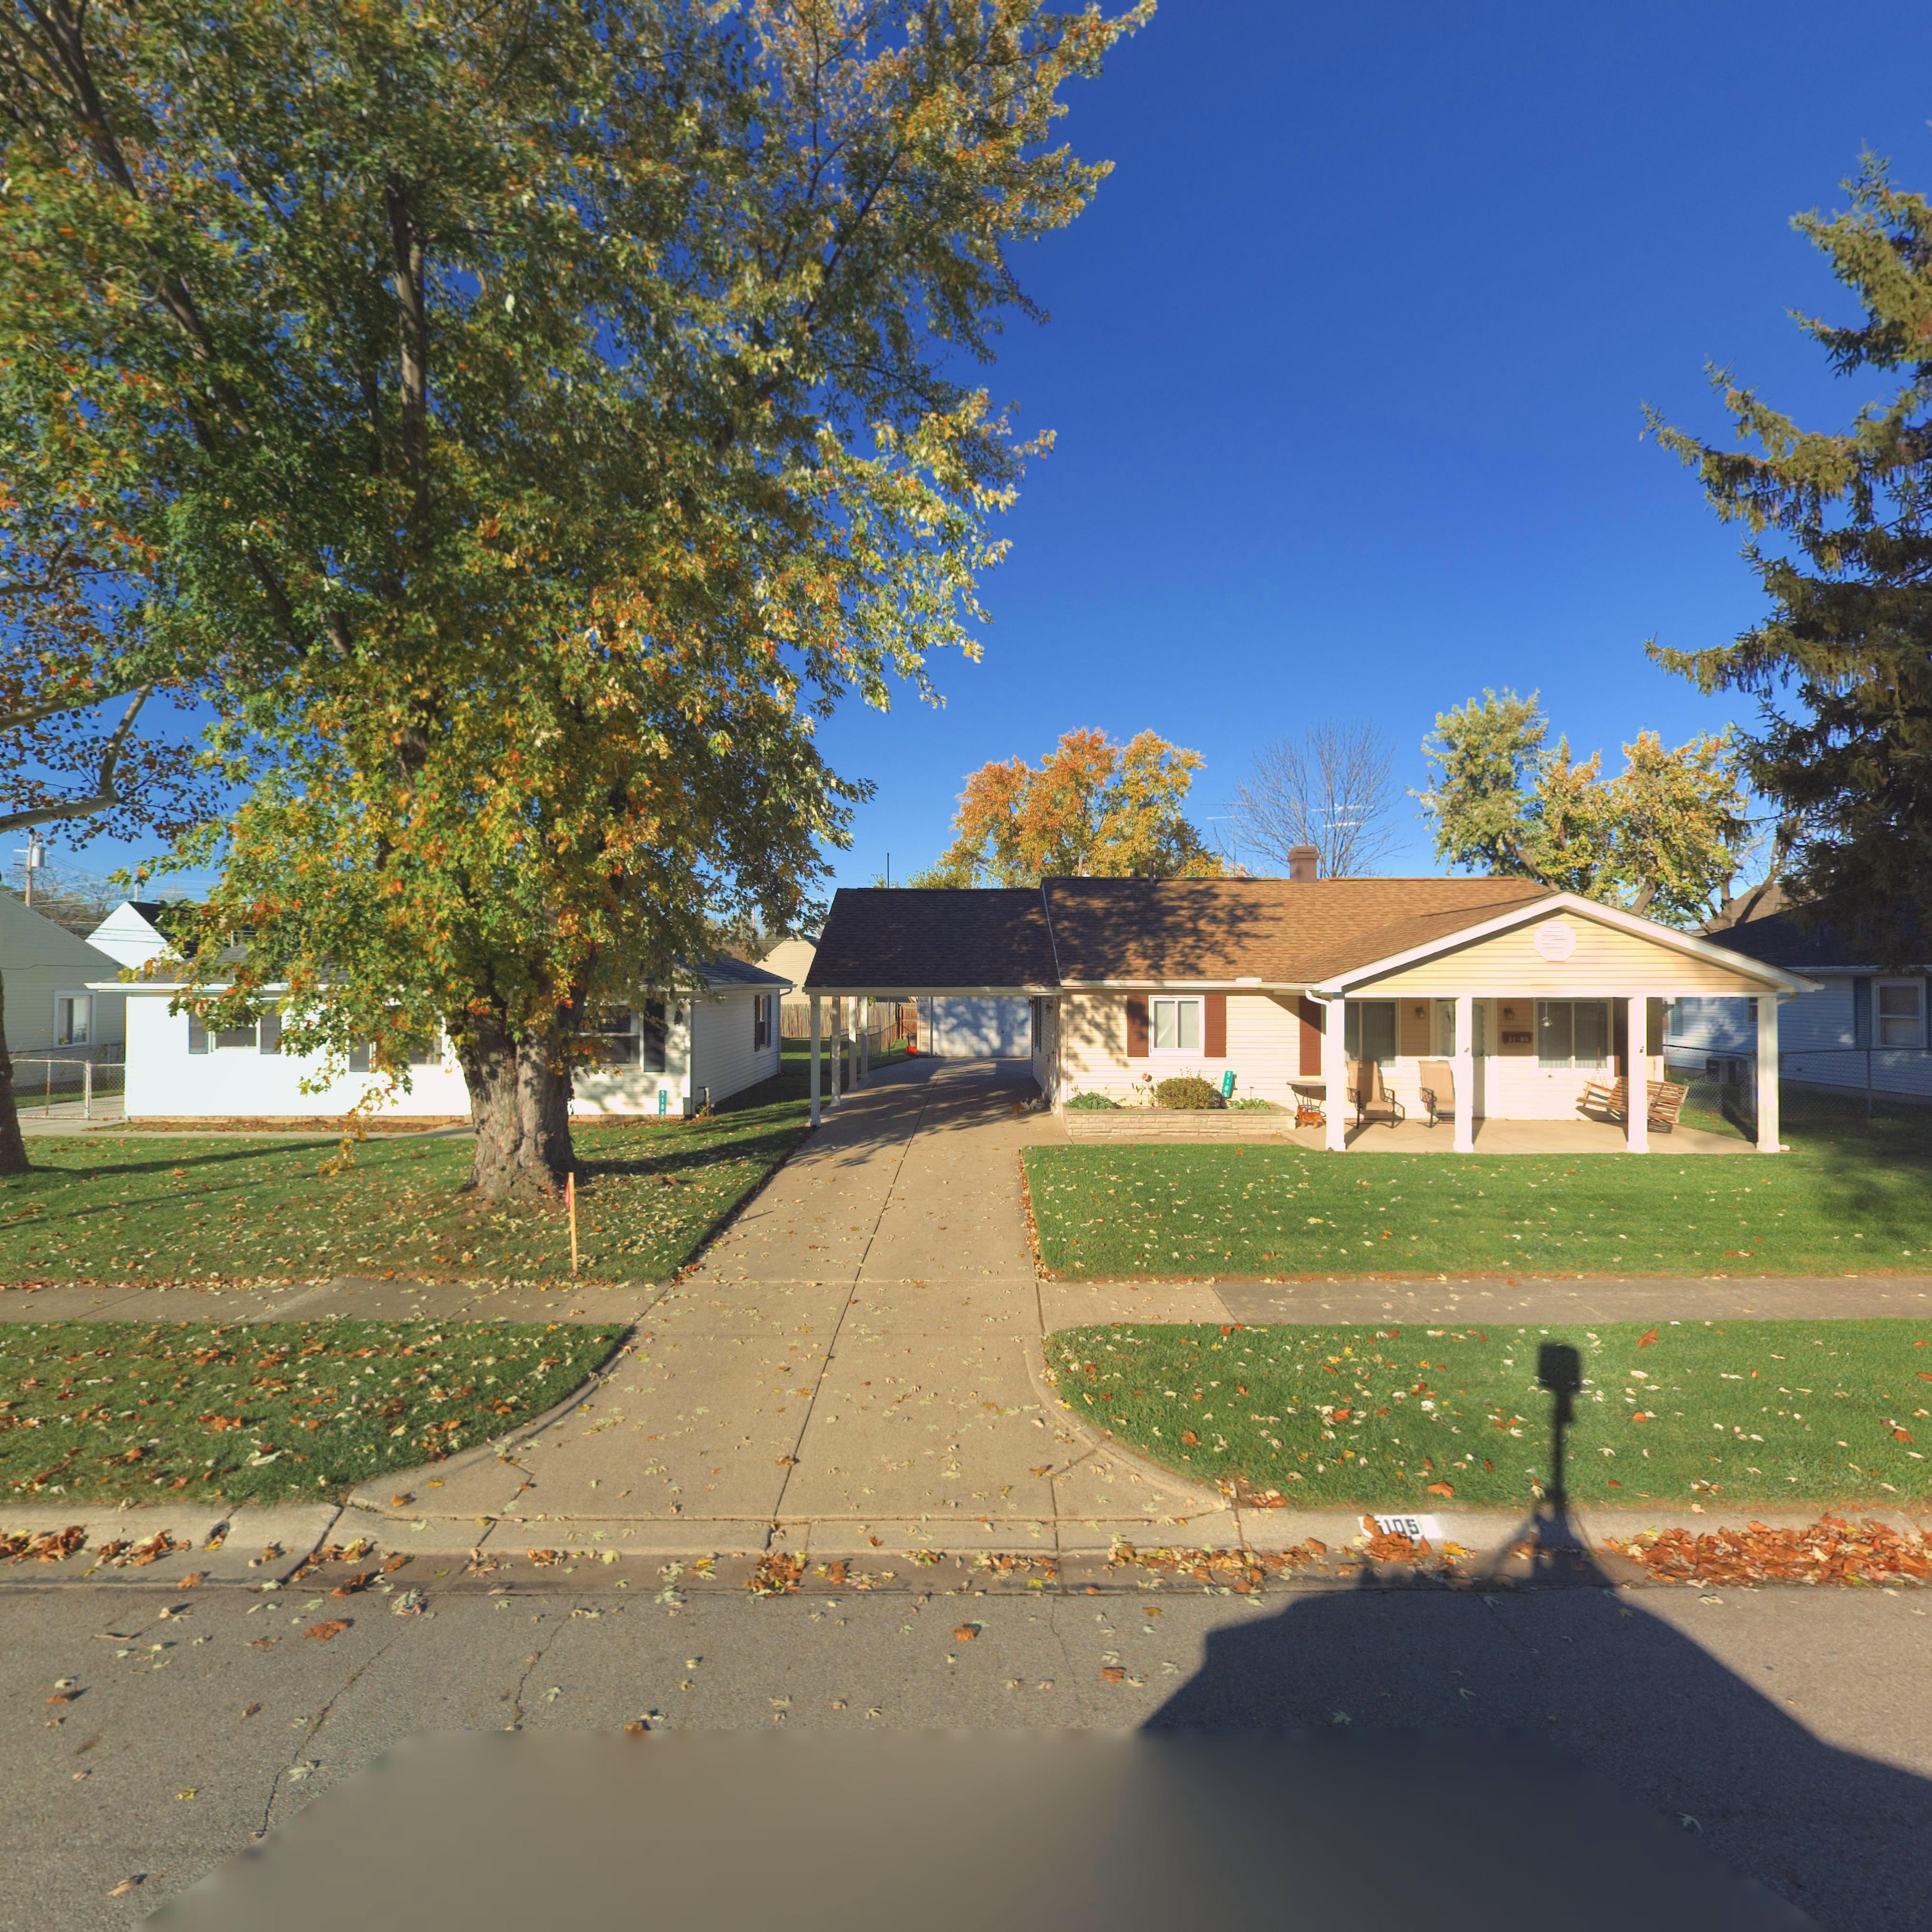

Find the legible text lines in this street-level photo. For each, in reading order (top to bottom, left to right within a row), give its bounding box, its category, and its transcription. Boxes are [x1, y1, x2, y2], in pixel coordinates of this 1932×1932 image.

[1508, 1035, 1529, 1043] StreetNumber: 51*05
[1223, 1071, 1232, 1098] StreetNumber: 5105
[660, 1090, 665, 1116] StreetNumber: 5109
[1382, 1517, 1421, 1537] StreetNumber: 105